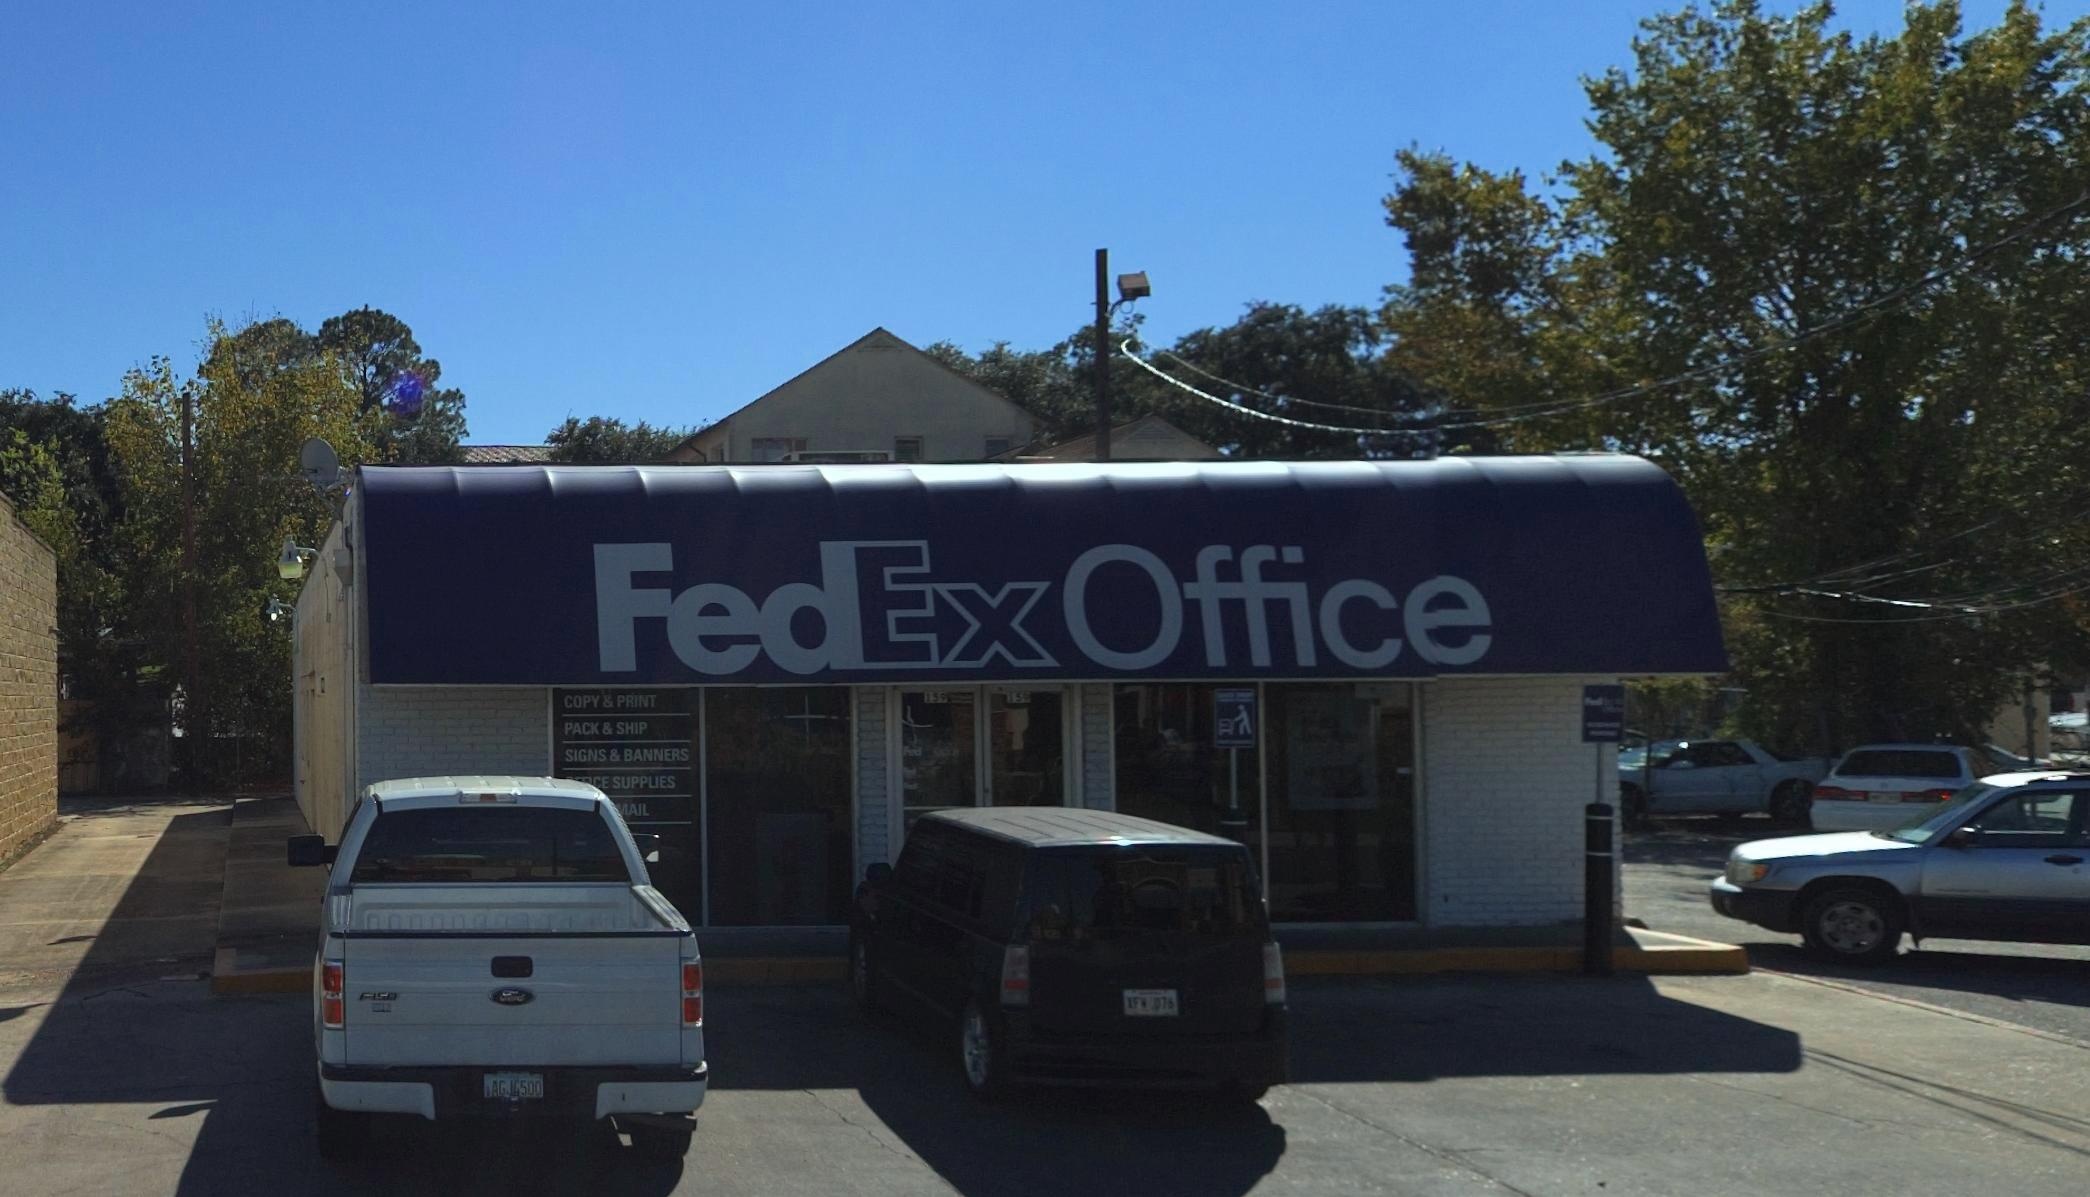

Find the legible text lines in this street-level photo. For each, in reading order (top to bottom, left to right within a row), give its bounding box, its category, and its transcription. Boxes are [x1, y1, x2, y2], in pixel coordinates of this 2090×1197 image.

[590, 538, 1498, 675] BusinessName: FedEx Office
[563, 693, 659, 708] None: COPY & PRINT
[925, 691, 948, 704] StreetNumber: 159
[1007, 691, 1030, 704] StreetNumber: 159
[563, 720, 649, 736] None: PACK & SHIP
[564, 747, 690, 763] None: SIGNS & BANNERS
[902, 744, 922, 757] None: Fed
[591, 774, 677, 790] None: *E SUPPLIES
[614, 802, 651, 818] None: *AIL
[358, 991, 399, 1001] None: F-150
[499, 989, 526, 1003] None: Ford
[1126, 995, 1174, 1010] None: XFW 875
[490, 1079, 543, 1098] None: AG.14500